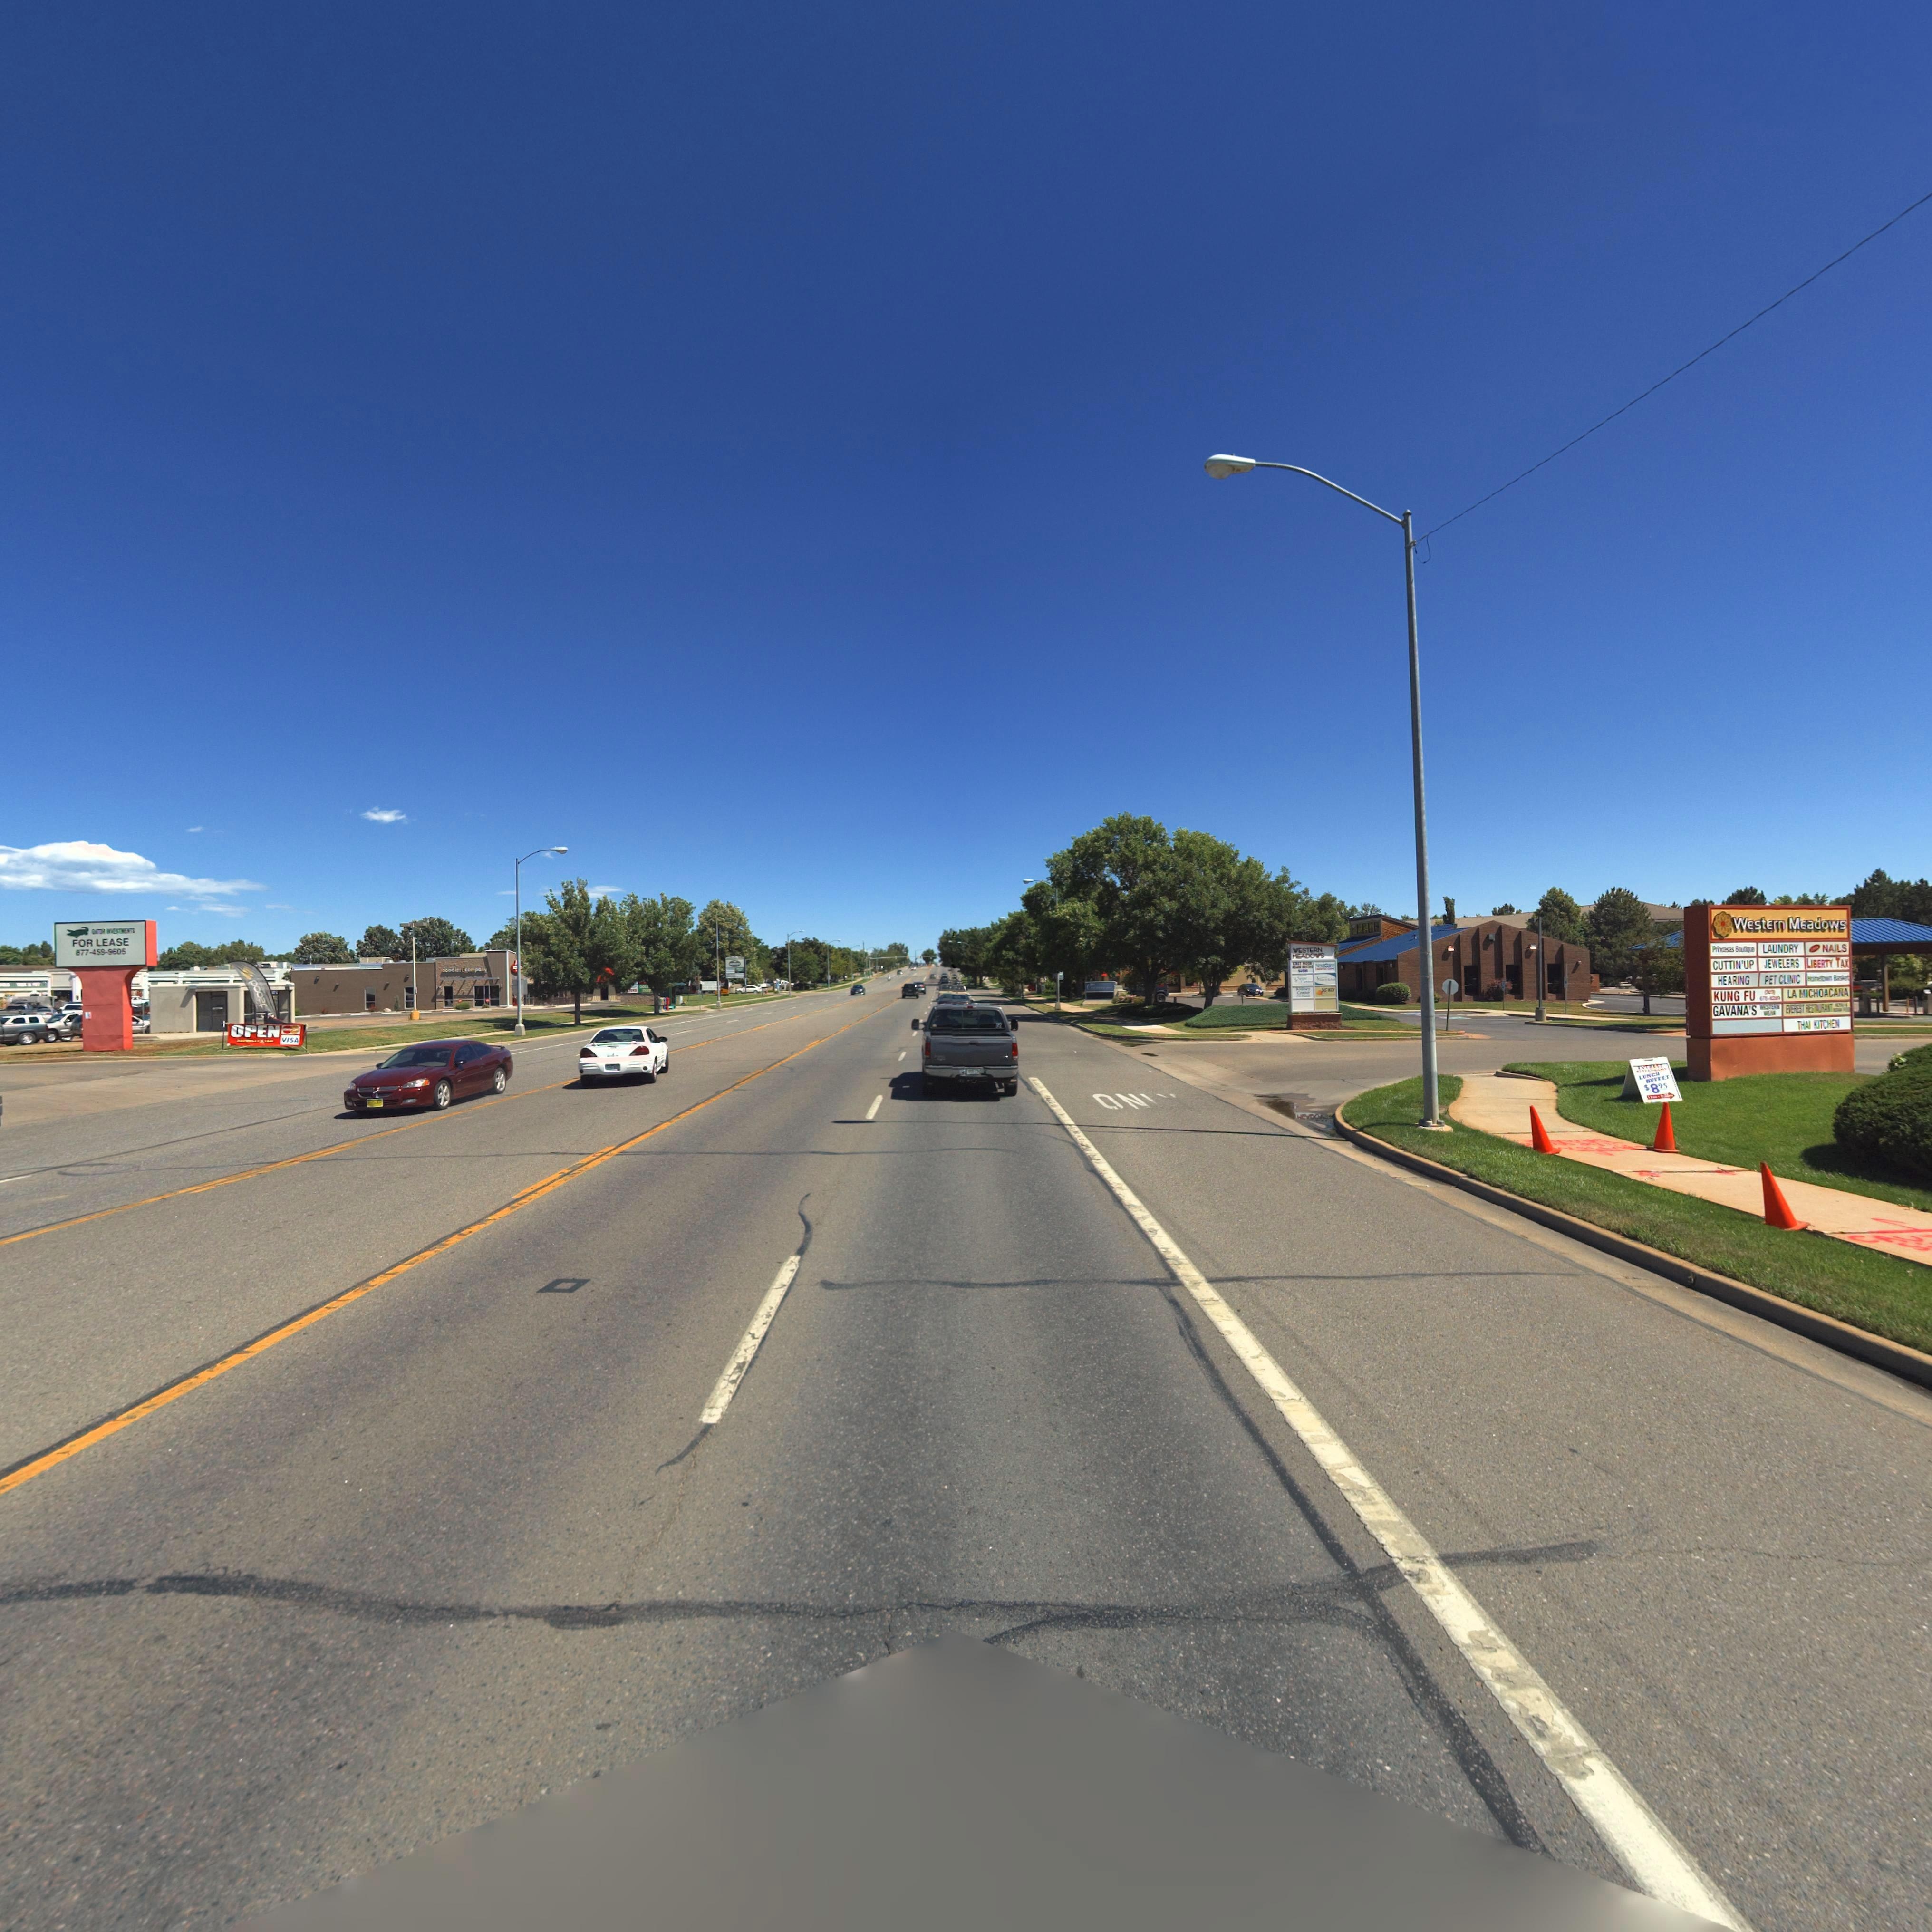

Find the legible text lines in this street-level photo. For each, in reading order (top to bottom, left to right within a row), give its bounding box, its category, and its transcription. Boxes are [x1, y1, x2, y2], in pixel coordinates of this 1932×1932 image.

[1712, 945, 1755, 953] BusinessName: Princ*sas Boudque
[1292, 961, 1312, 965] BusinessName: T*STY MOON
[1315, 963, 1335, 967] BusinessName: NextCare
[1712, 959, 1754, 970] BusinessName: CUTTIN'UP
[1806, 957, 1849, 968] BusinessName: LIBERTY TAX
[442, 966, 487, 973] BusinessName: noodles * company
[1807, 974, 1850, 982] BusinessName: Fonetown Basket
[1300, 979, 1304, 984] BusinessName: C
[1296, 990, 1310, 995] BusinessName: Cent*r
[1296, 986, 1311, 991] BusinessName: Kidney
[1320, 987, 1335, 992] BusinessName: EAS* M*ON
[1787, 987, 1849, 998] BusinessName: LA MICHOACANA
[1712, 1004, 1757, 1016] BusinessName: GAVANA'S
[1759, 1004, 1779, 1010] BusinessName: WESTE*N
[1763, 1010, 1776, 1016] BusinessName: WEA*
[1785, 1003, 1833, 1014] BusinessName: EVEREST RESTAURANT
[1796, 1018, 1840, 1030] BusinessName: THAI KITCHEN